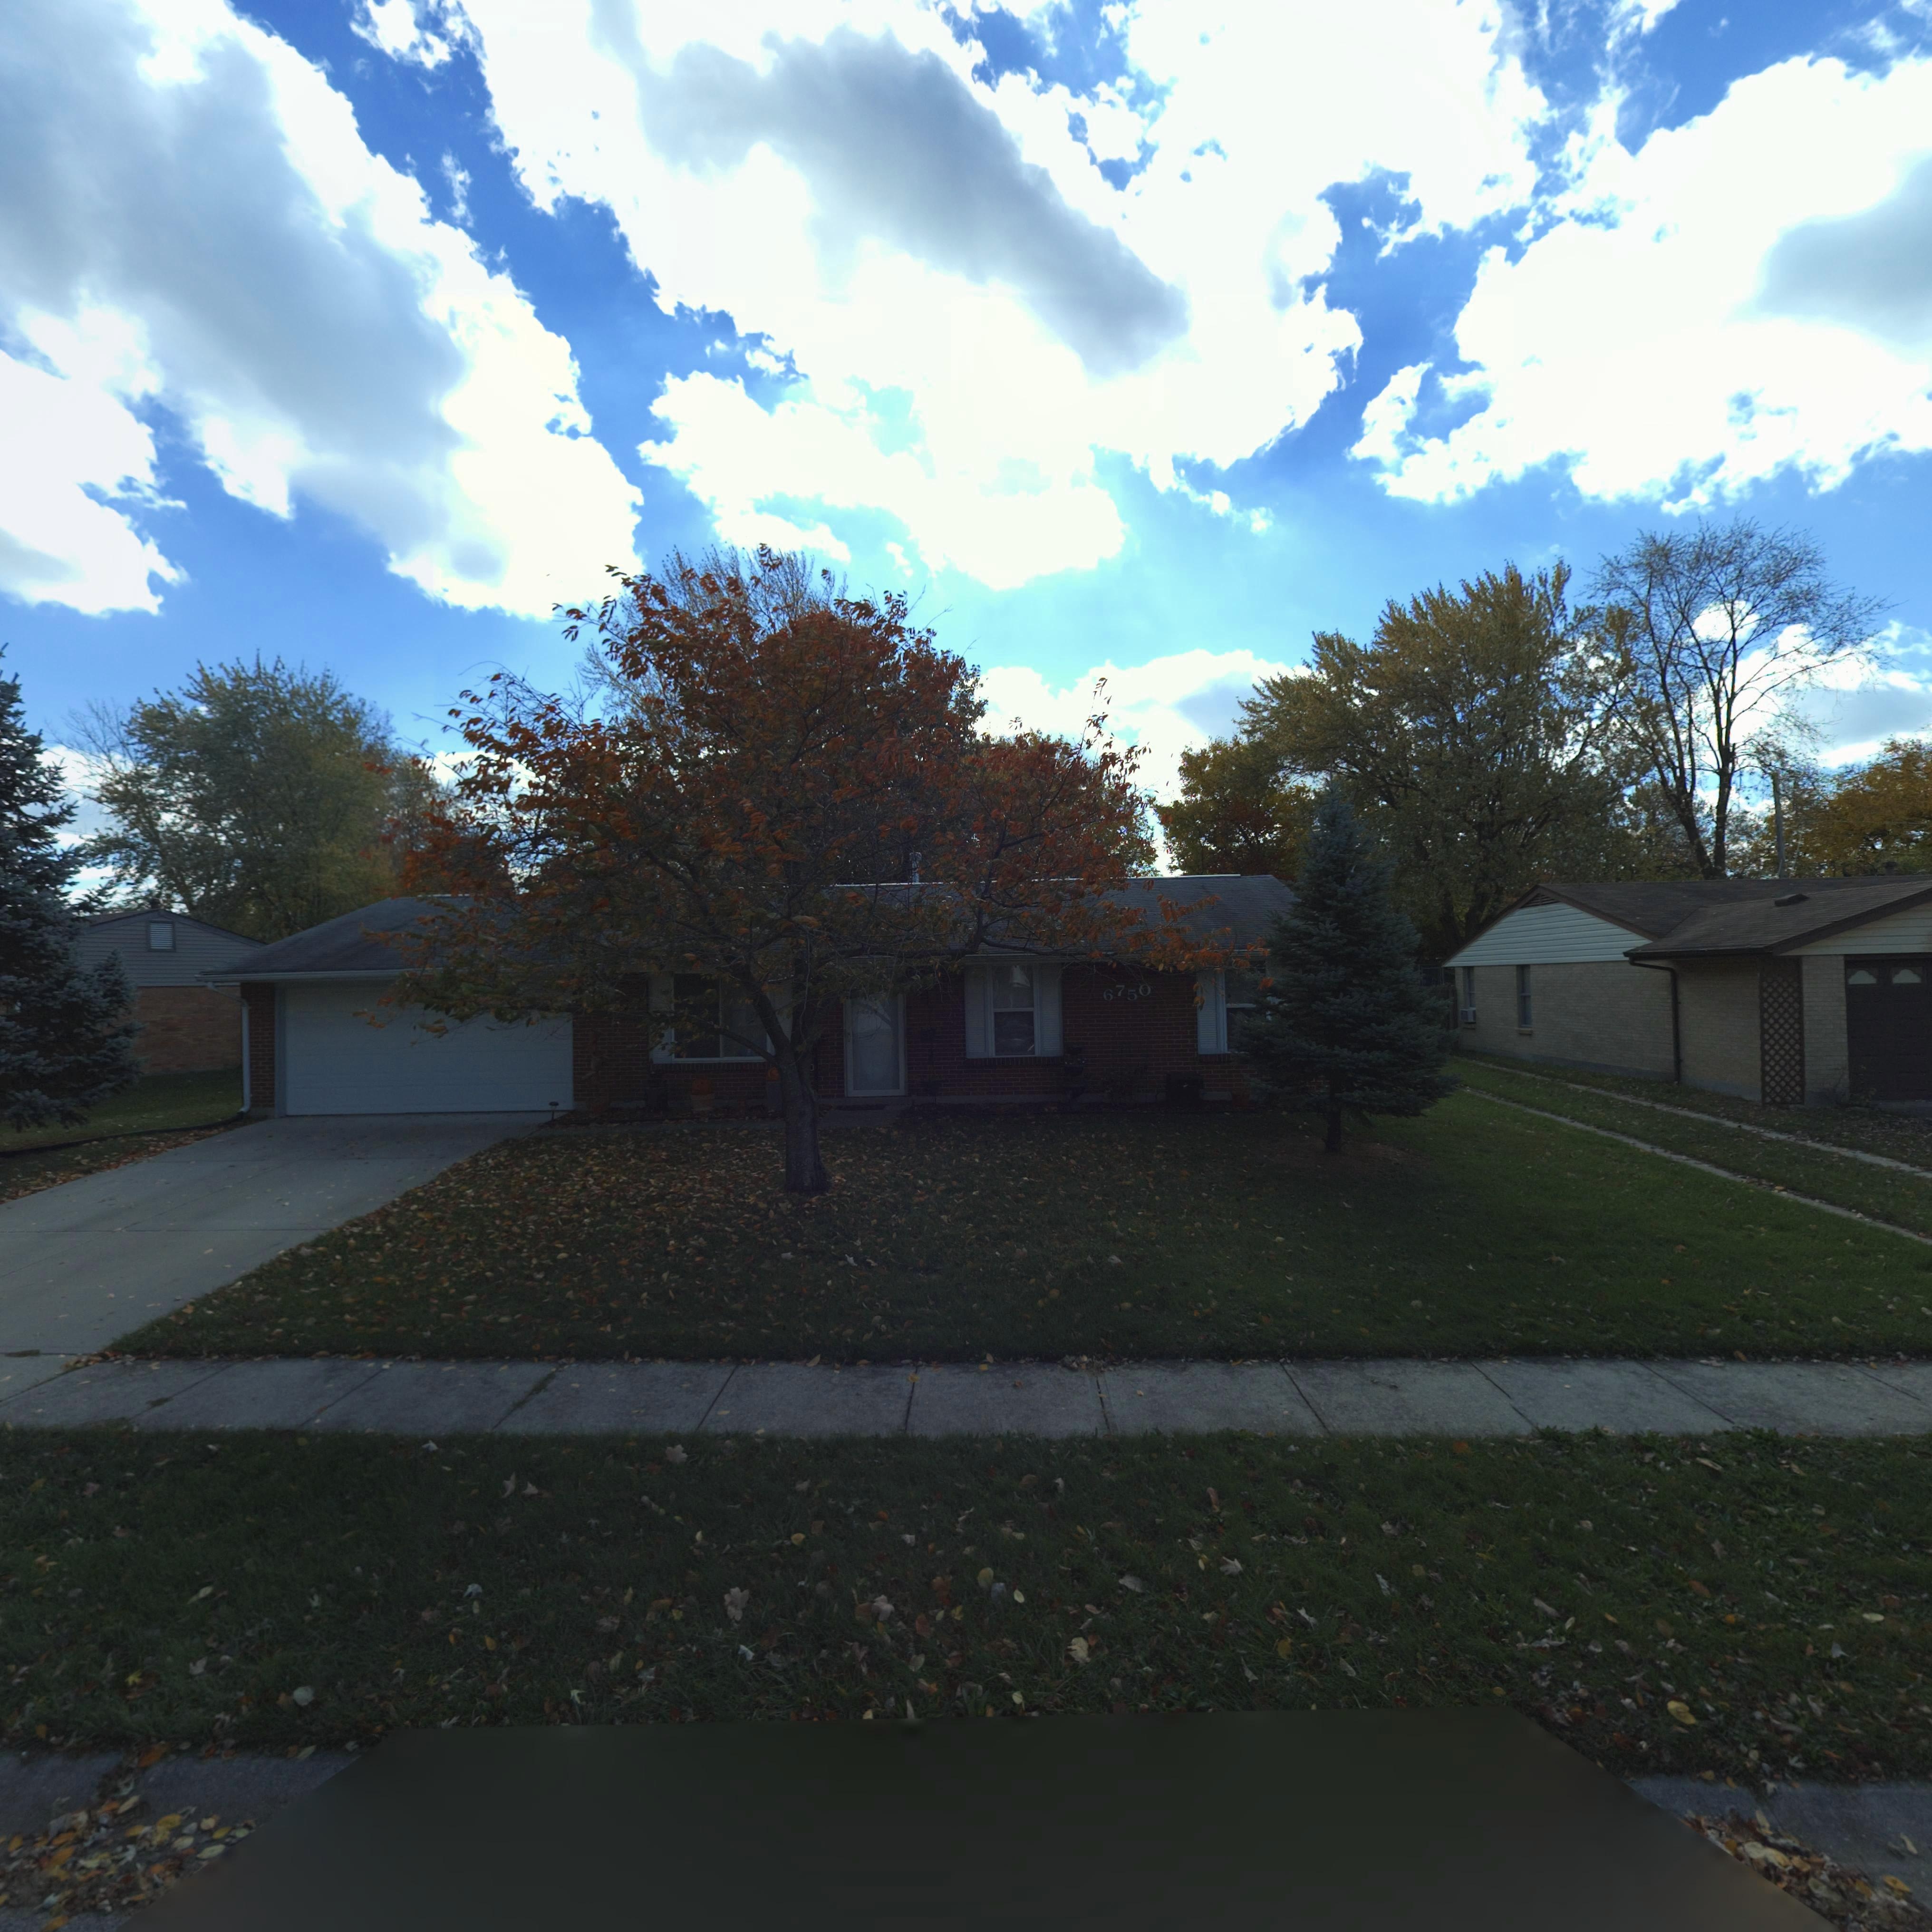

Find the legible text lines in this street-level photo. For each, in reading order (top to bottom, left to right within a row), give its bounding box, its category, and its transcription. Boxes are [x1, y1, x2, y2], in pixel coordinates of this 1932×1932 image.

[1102, 984, 1151, 1001] StreetNumber: 6750